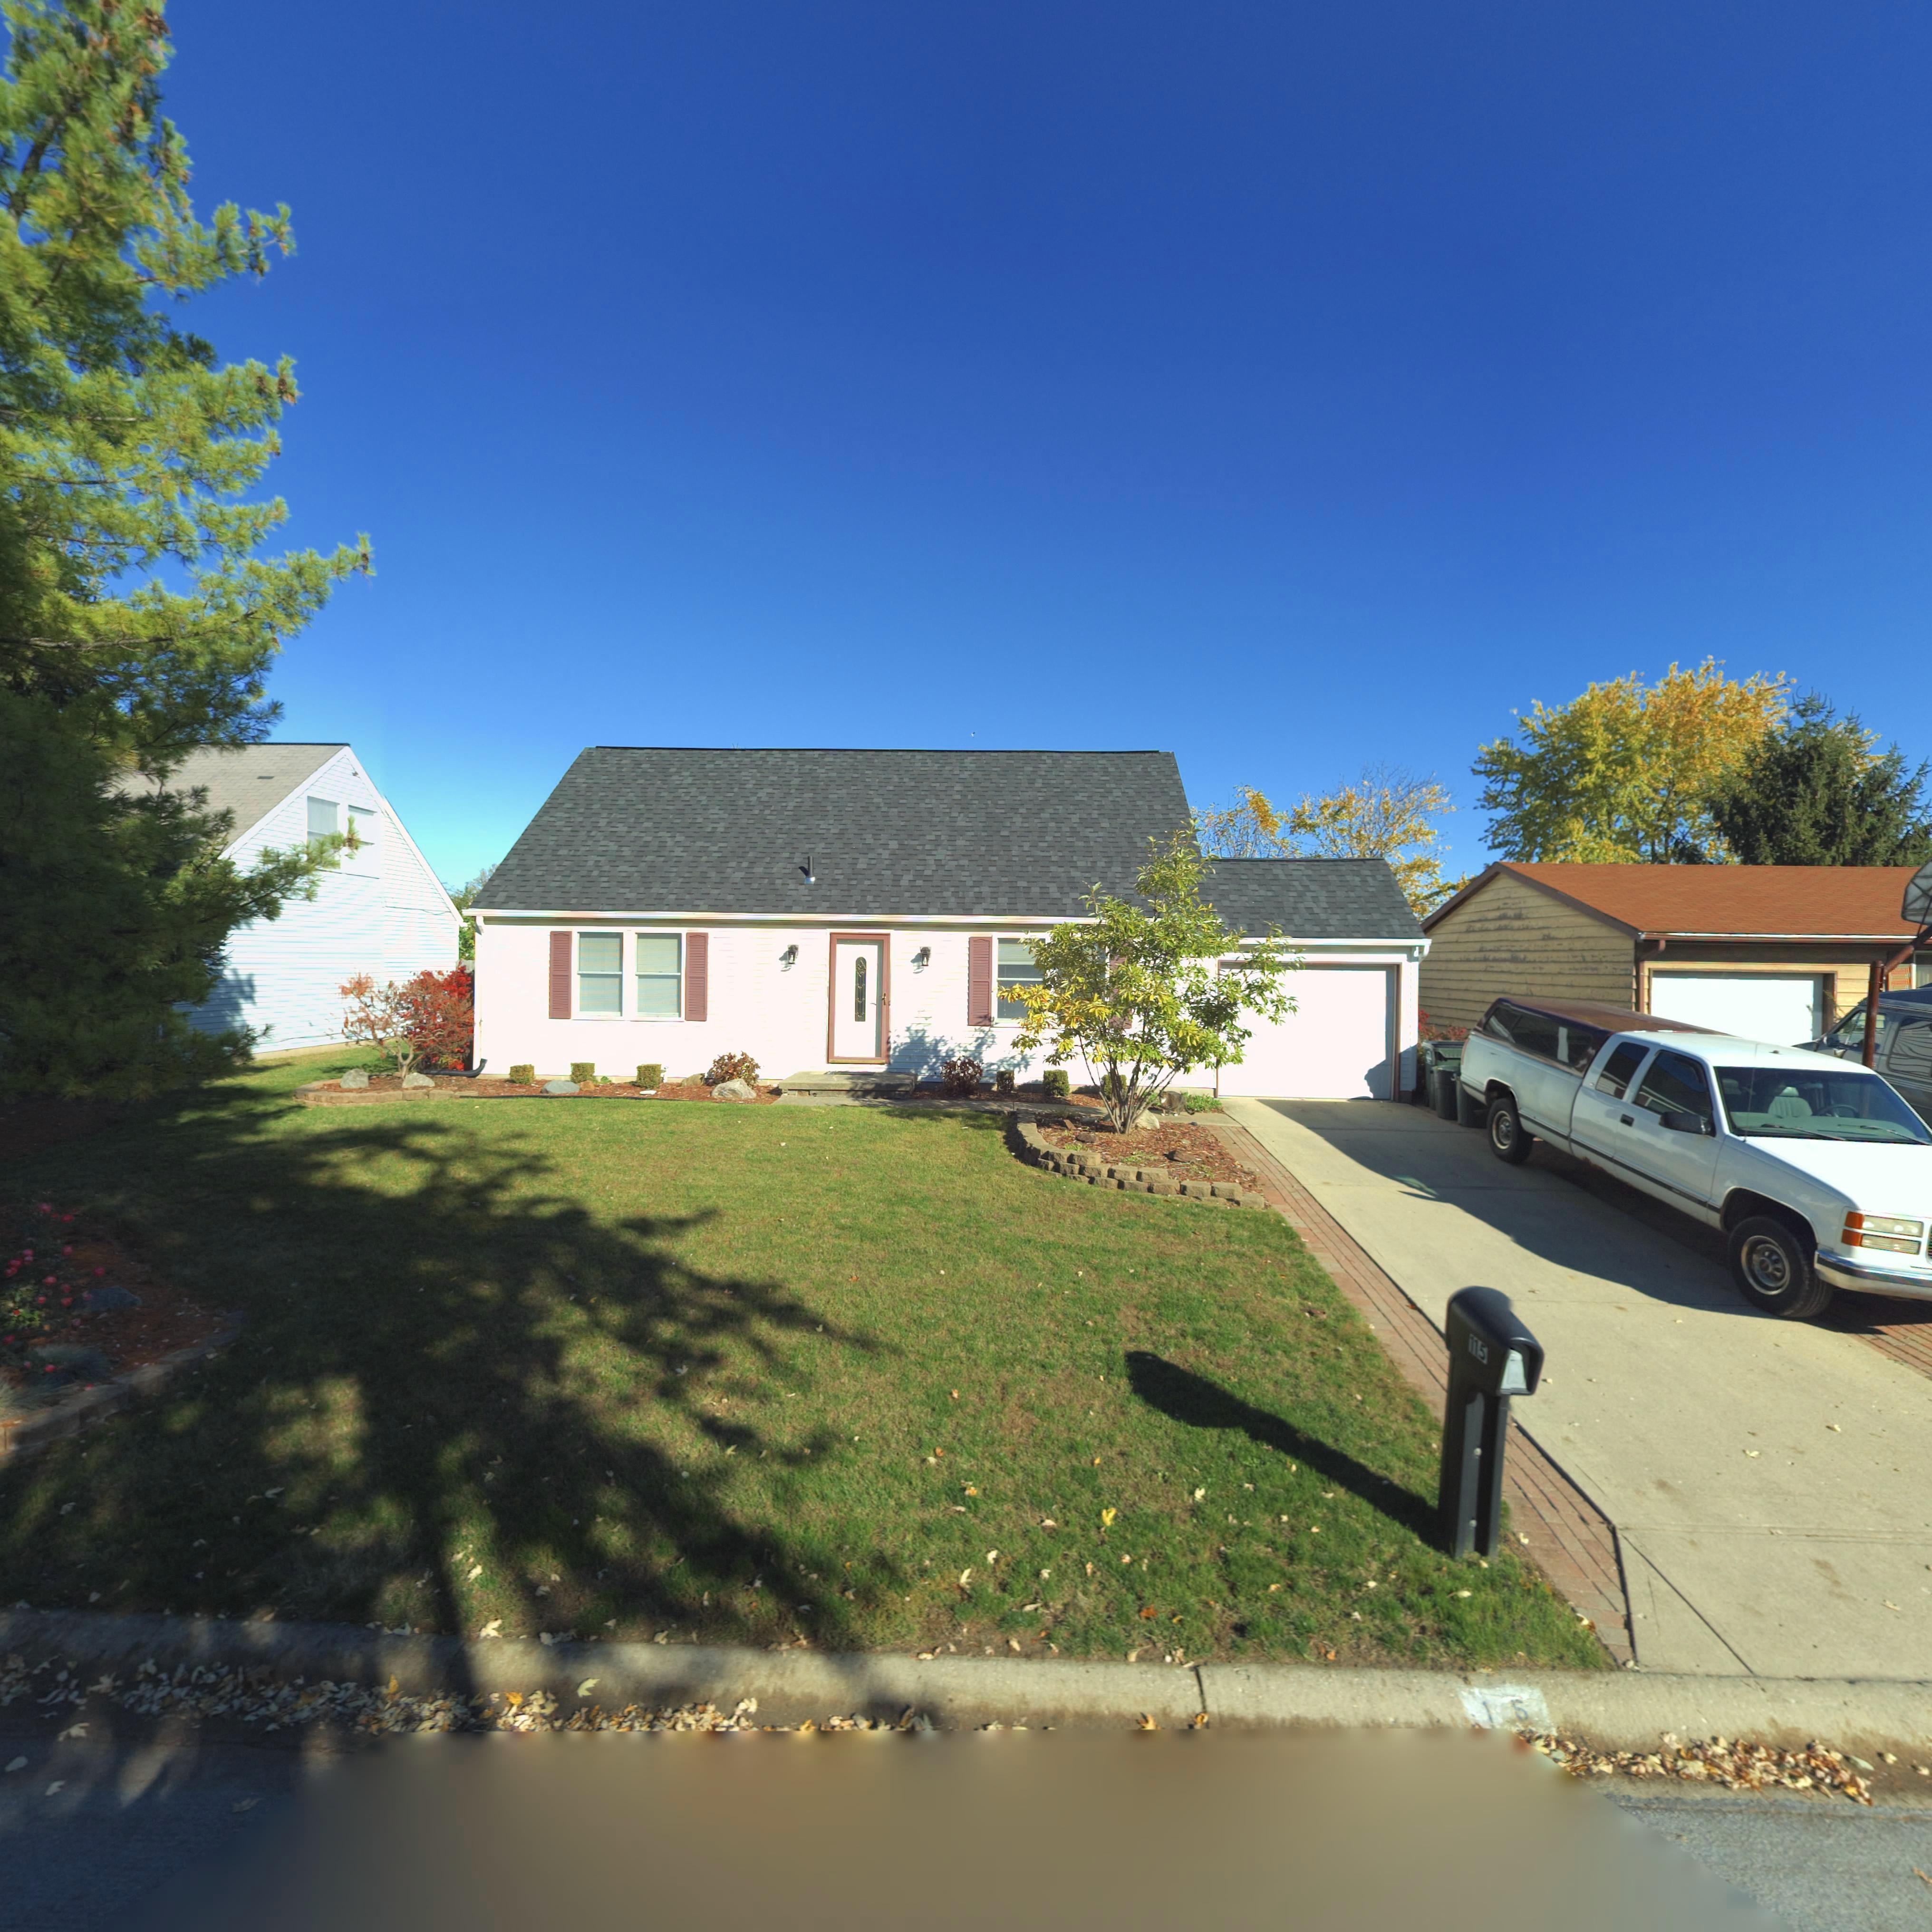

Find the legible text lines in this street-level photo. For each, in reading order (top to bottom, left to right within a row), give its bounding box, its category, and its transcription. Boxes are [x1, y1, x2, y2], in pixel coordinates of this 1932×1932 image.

[1469, 1333, 1488, 1363] StreetNumber: 115
[1479, 1698, 1532, 1726] StreetNumber: 115